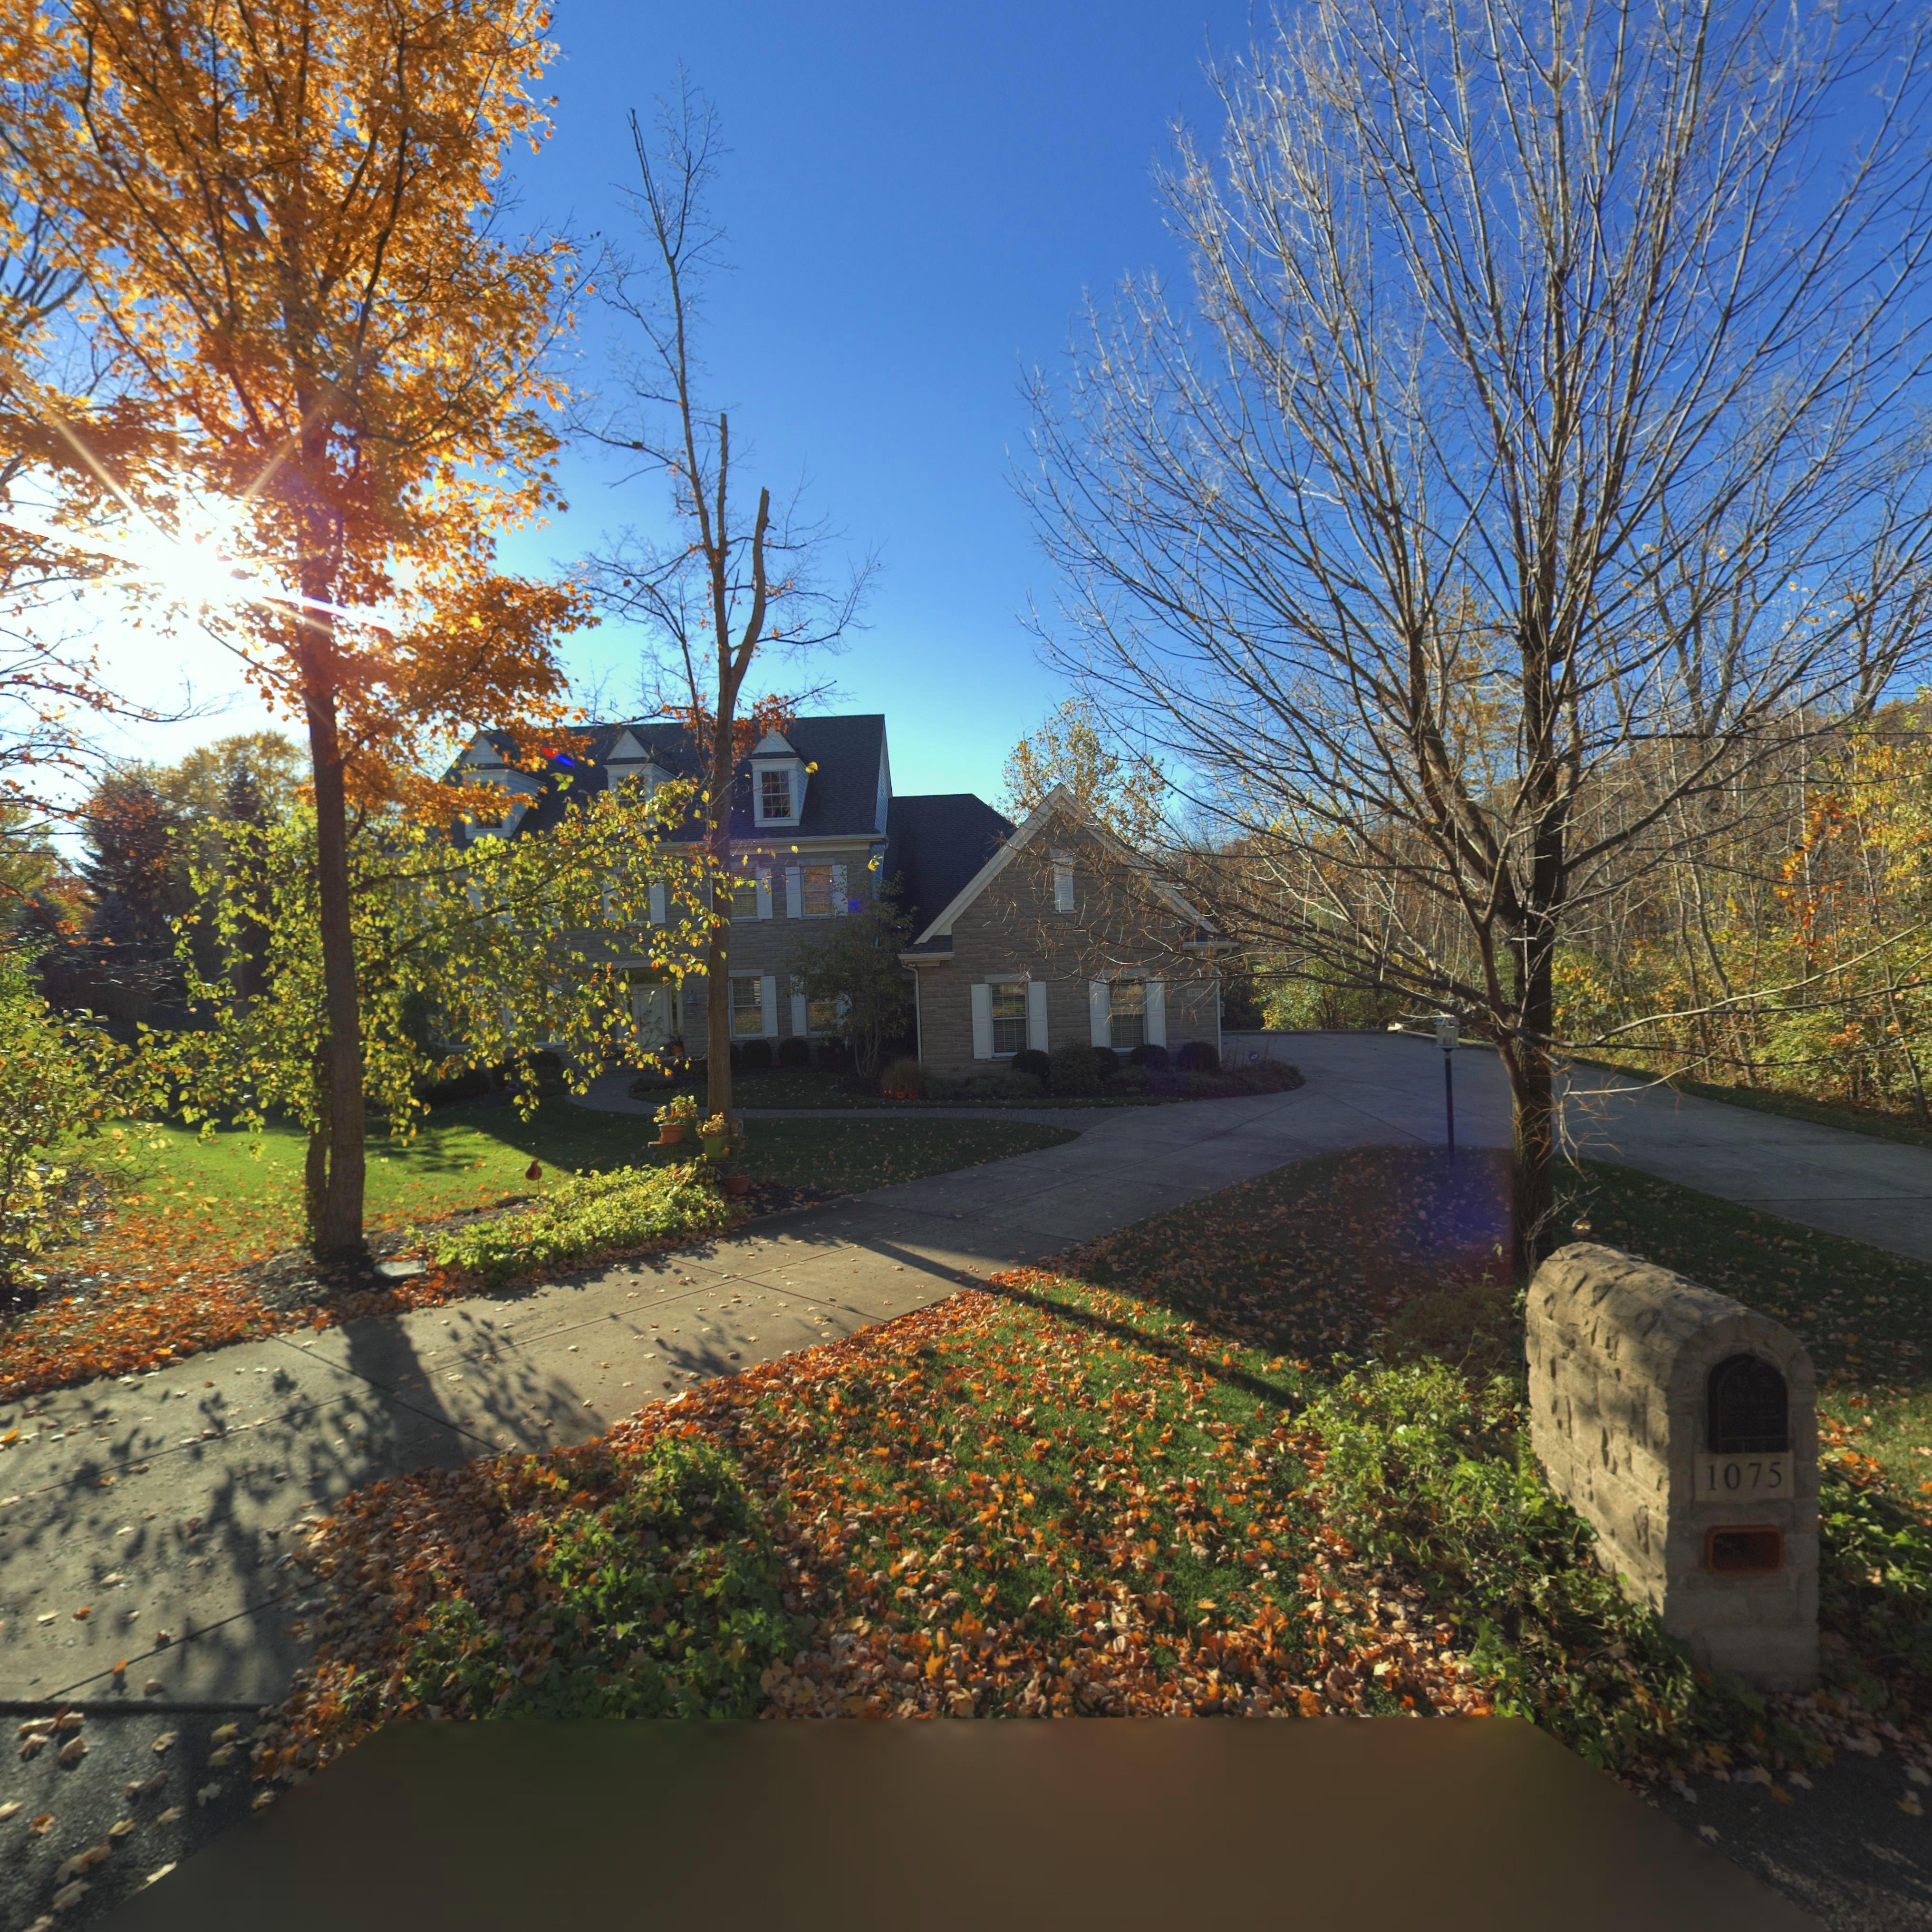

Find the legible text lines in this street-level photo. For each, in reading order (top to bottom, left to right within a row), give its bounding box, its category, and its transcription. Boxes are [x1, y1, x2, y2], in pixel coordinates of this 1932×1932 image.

[1188, 989, 1203, 996] StreetNumber: 1075
[1706, 1459, 1784, 1494] StreetNumber: 1075